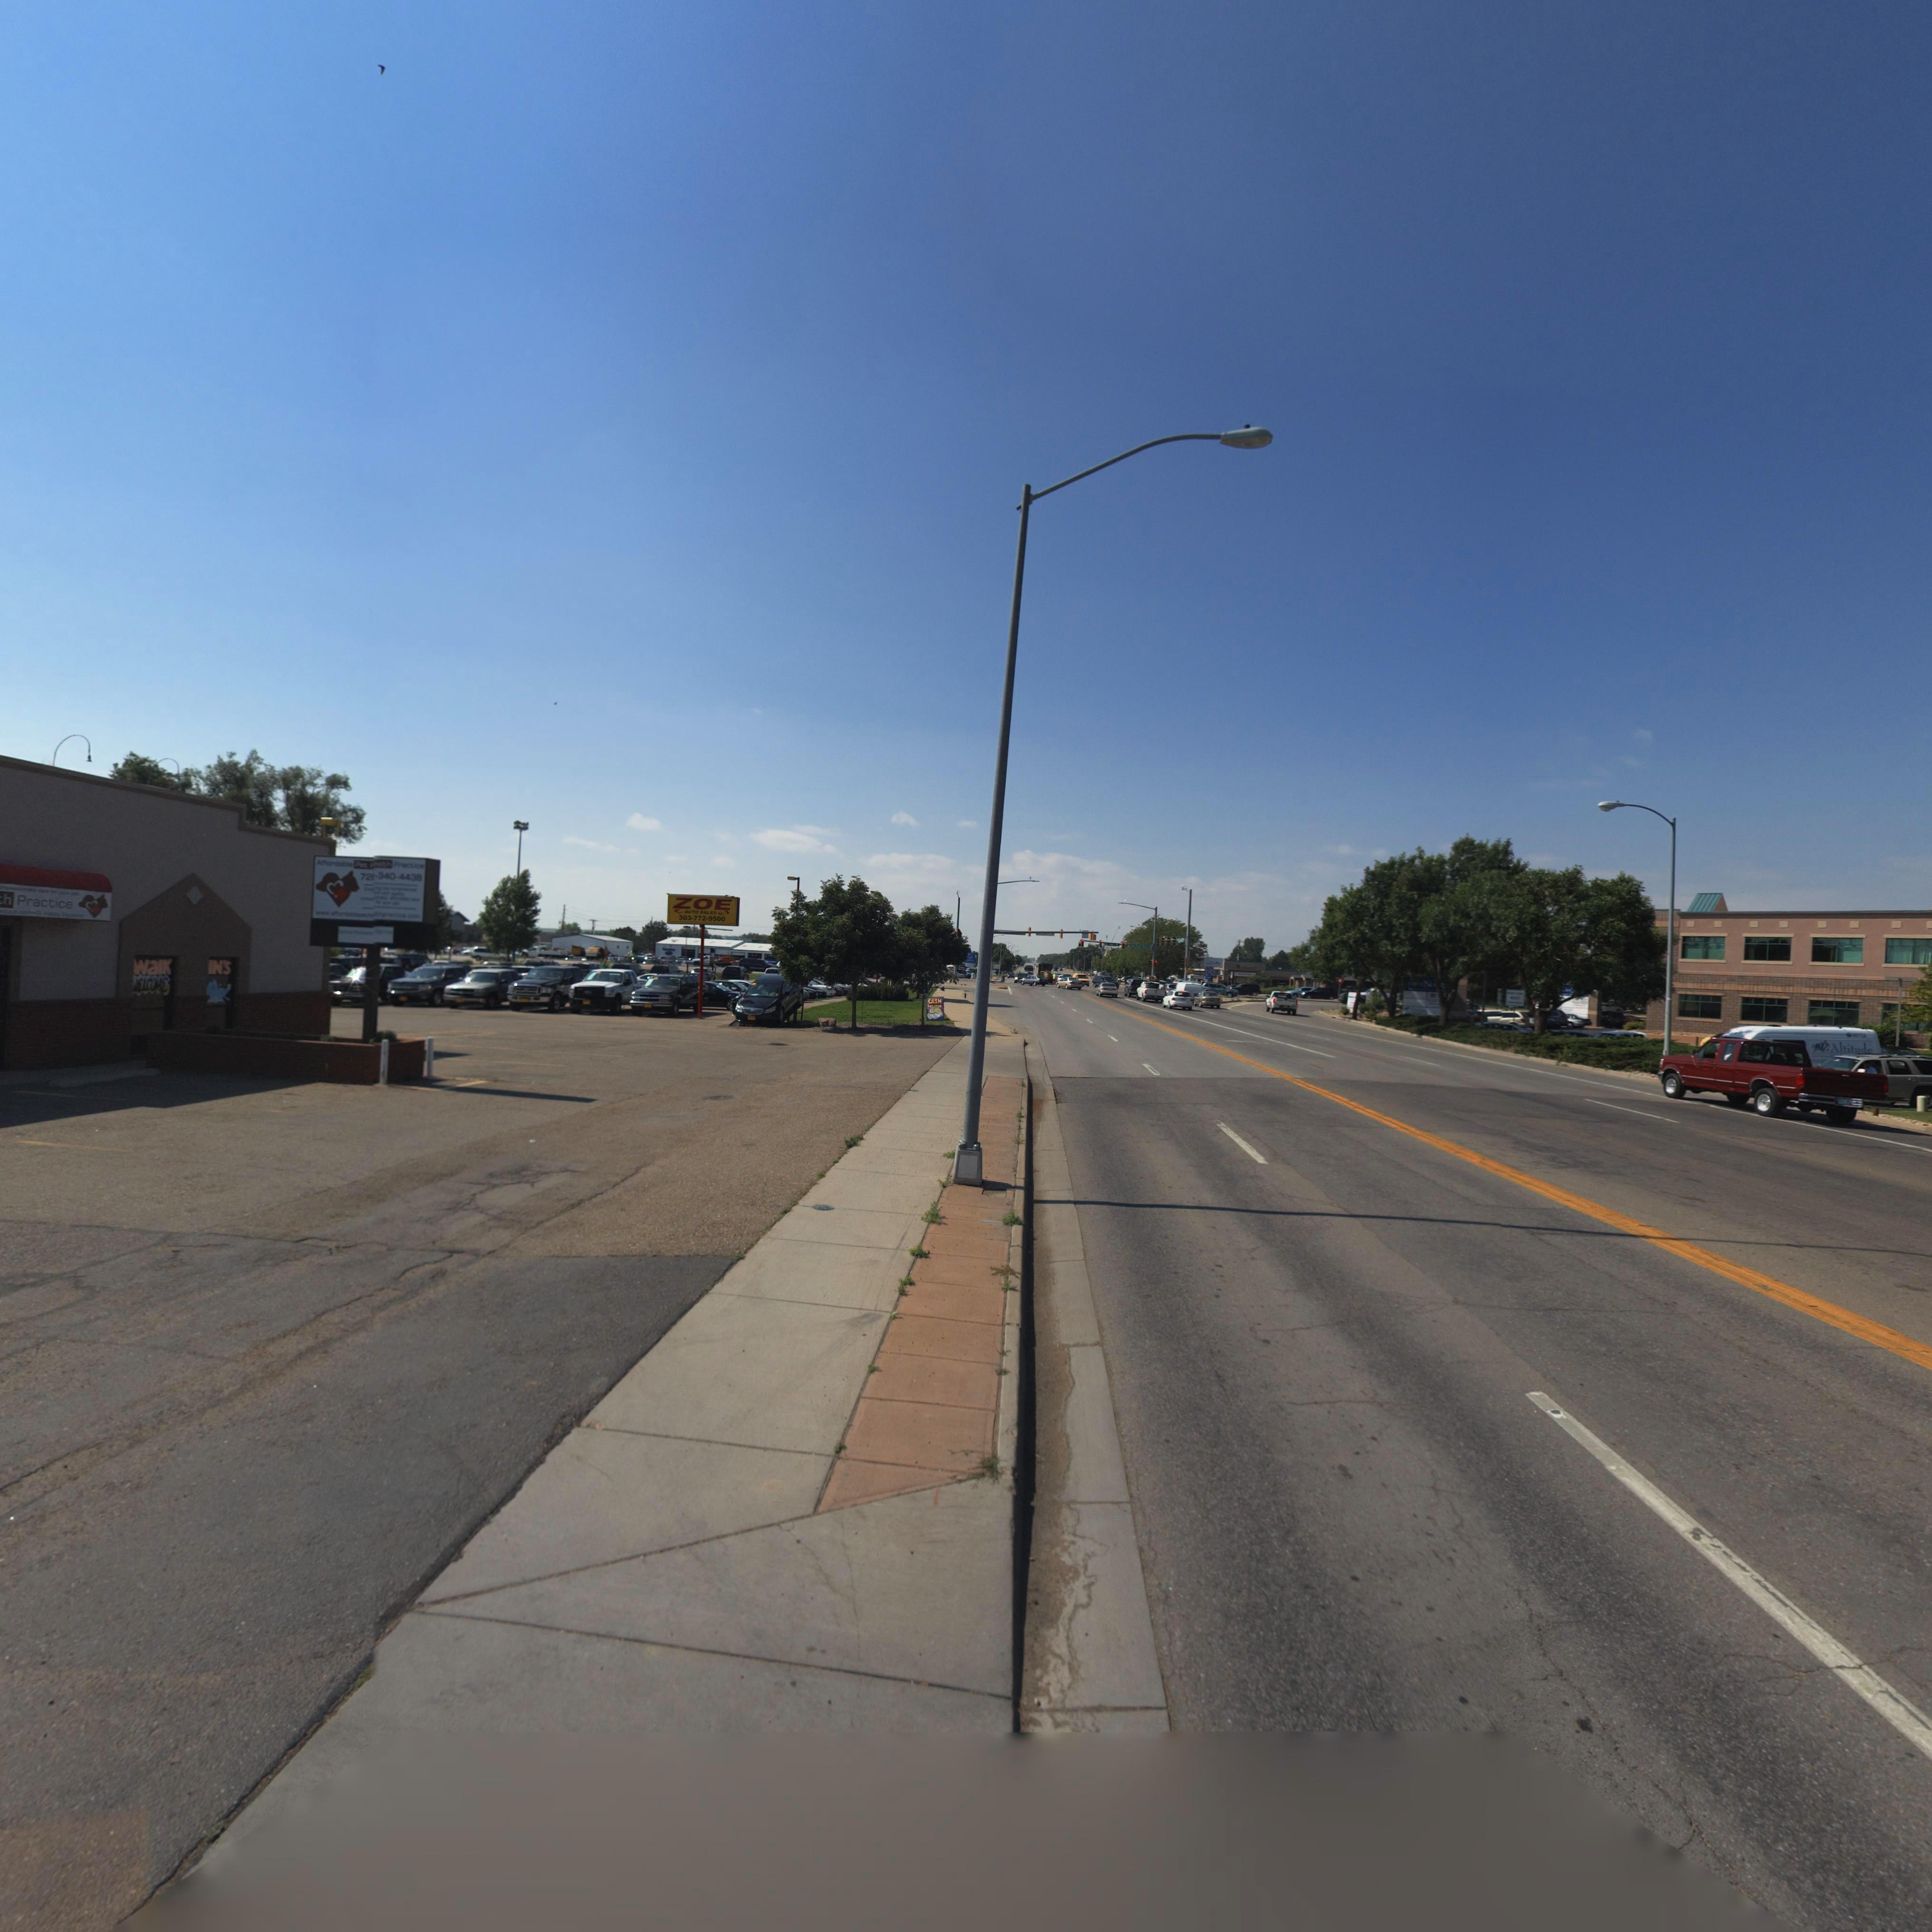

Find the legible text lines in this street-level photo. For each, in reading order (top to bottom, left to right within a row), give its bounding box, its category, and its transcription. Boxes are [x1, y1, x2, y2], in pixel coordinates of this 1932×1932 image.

[3, 893, 74, 909] BusinessName: h Practice
[672, 897, 732, 910] BusinessName: ZOE
[684, 909, 716, 915] BusinessName: AUTO SALES